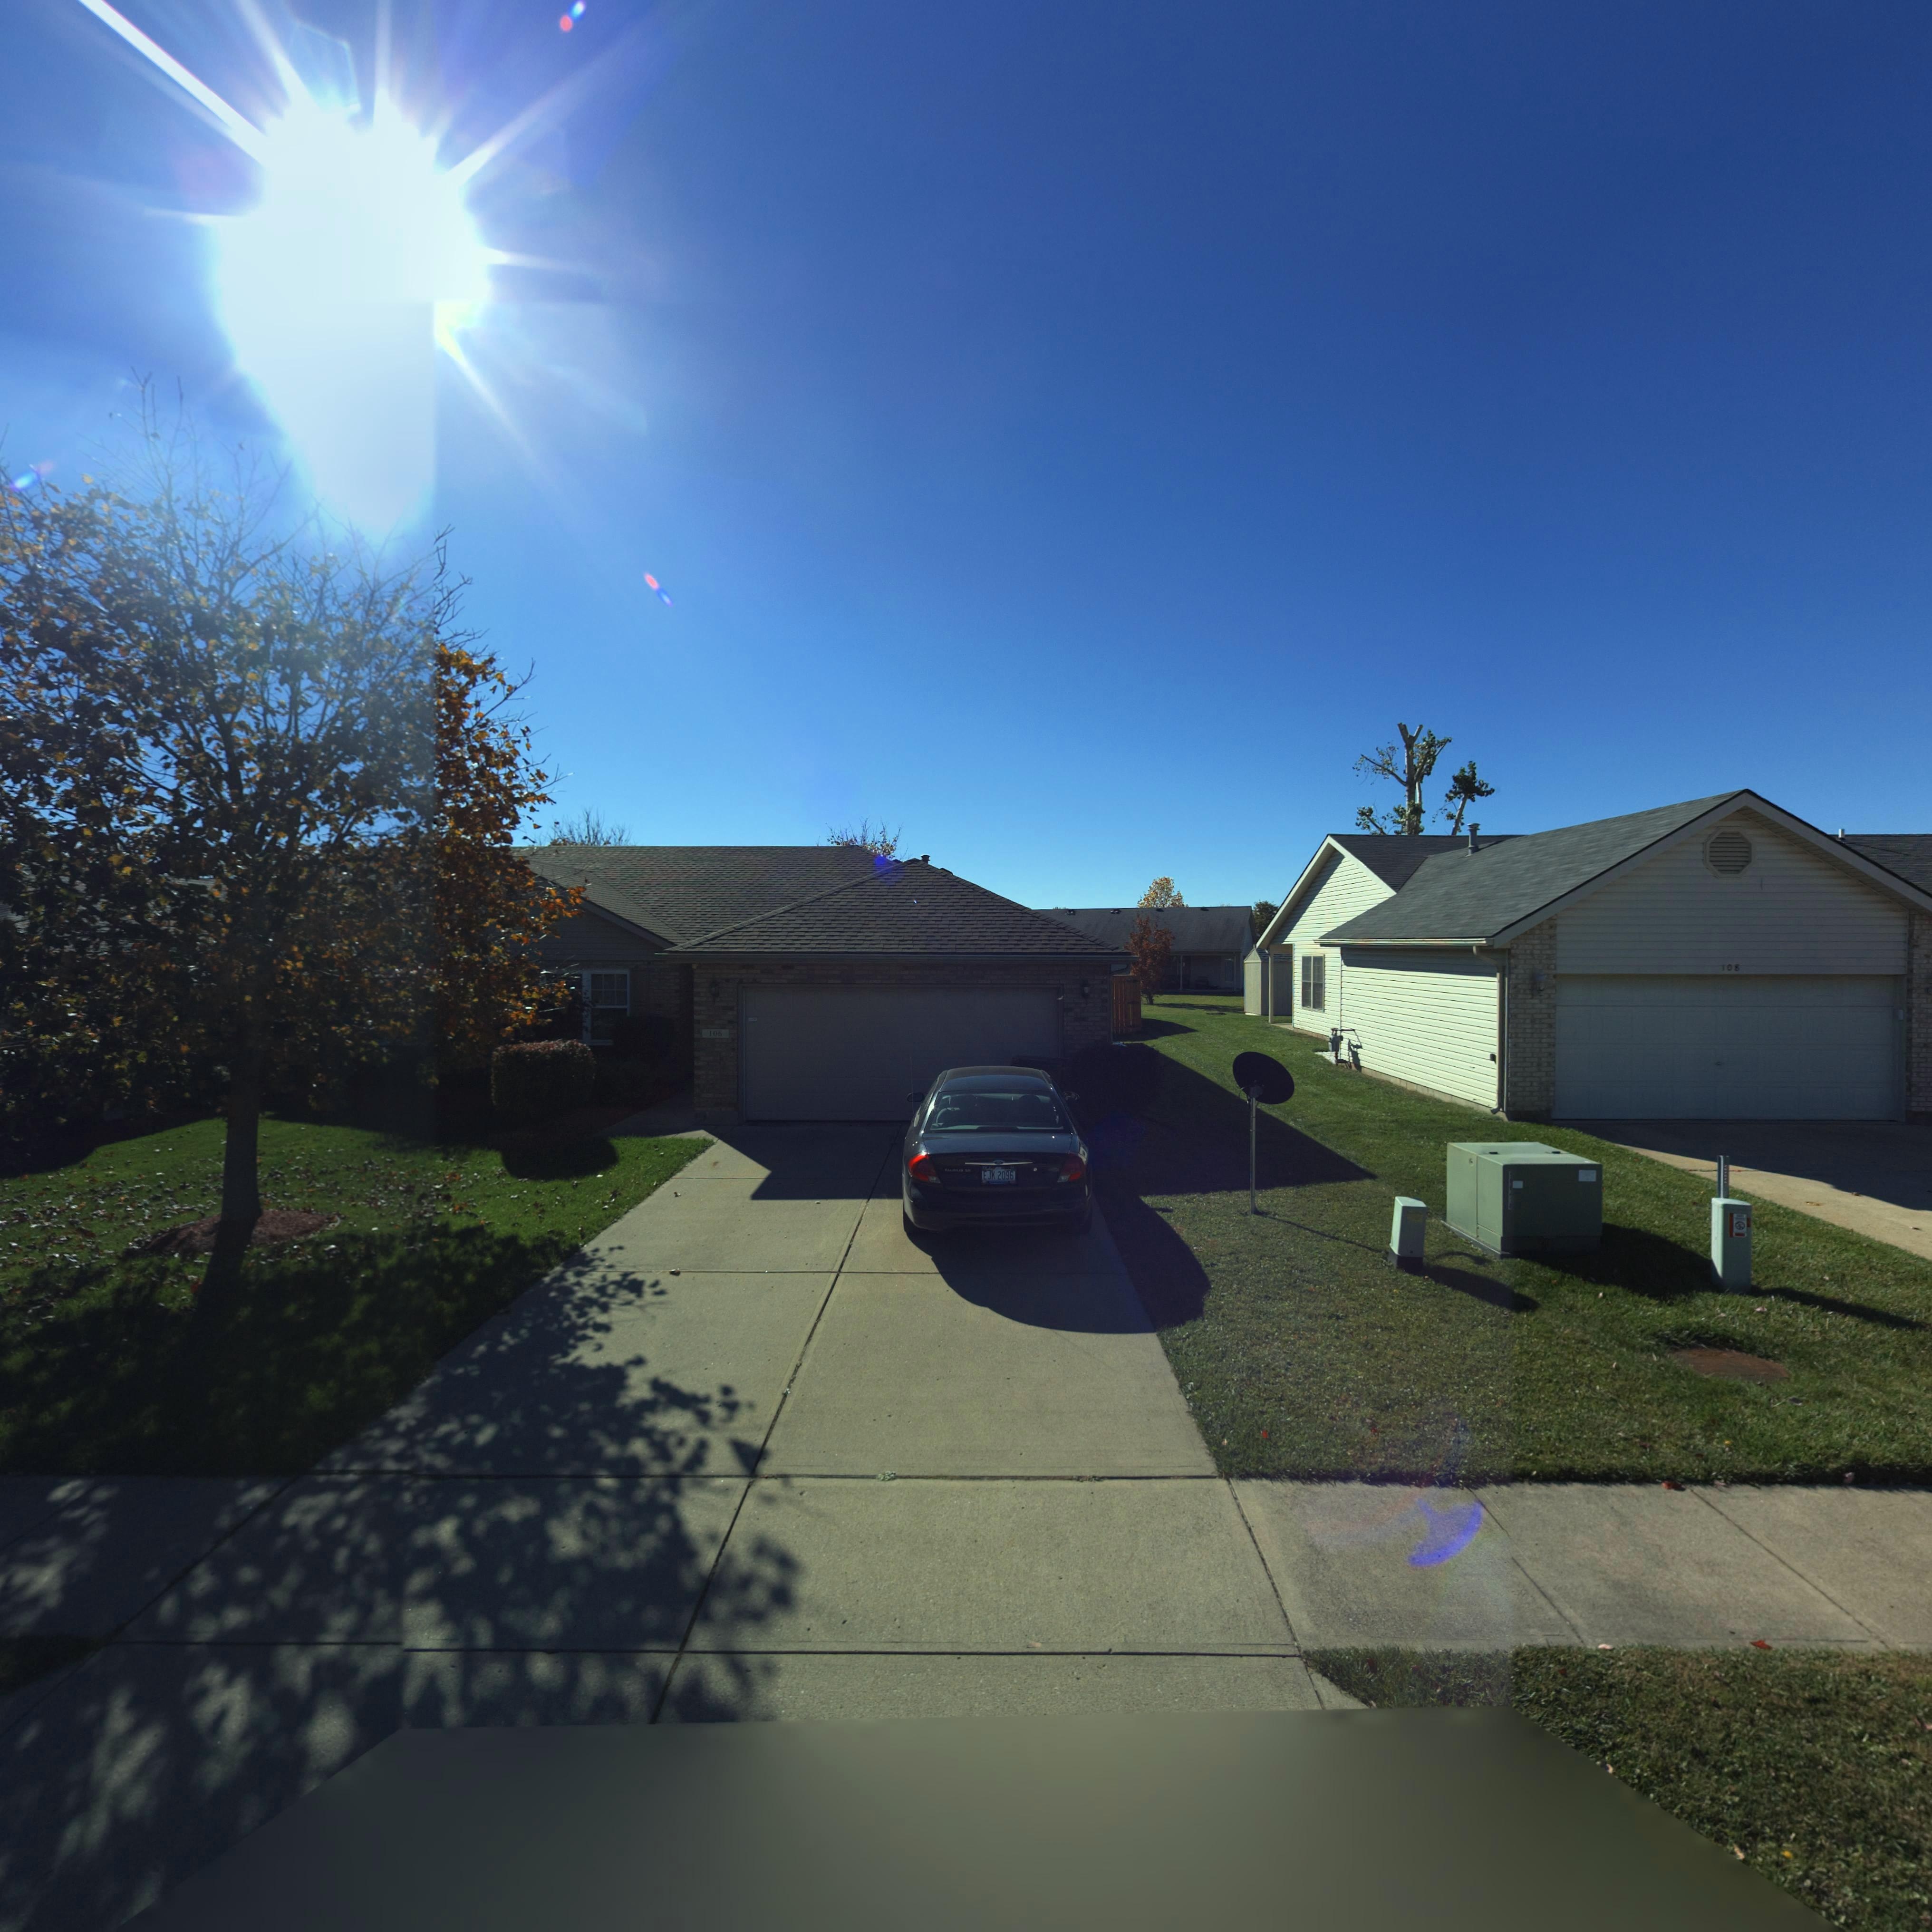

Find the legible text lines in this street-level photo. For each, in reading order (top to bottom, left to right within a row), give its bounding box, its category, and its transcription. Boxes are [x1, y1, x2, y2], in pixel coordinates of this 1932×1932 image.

[1721, 963, 1740, 972] StreetNumber: 108
[708, 1030, 723, 1037] StreetNumber: 106
[982, 1168, 1014, 1180] None: EJK 2096